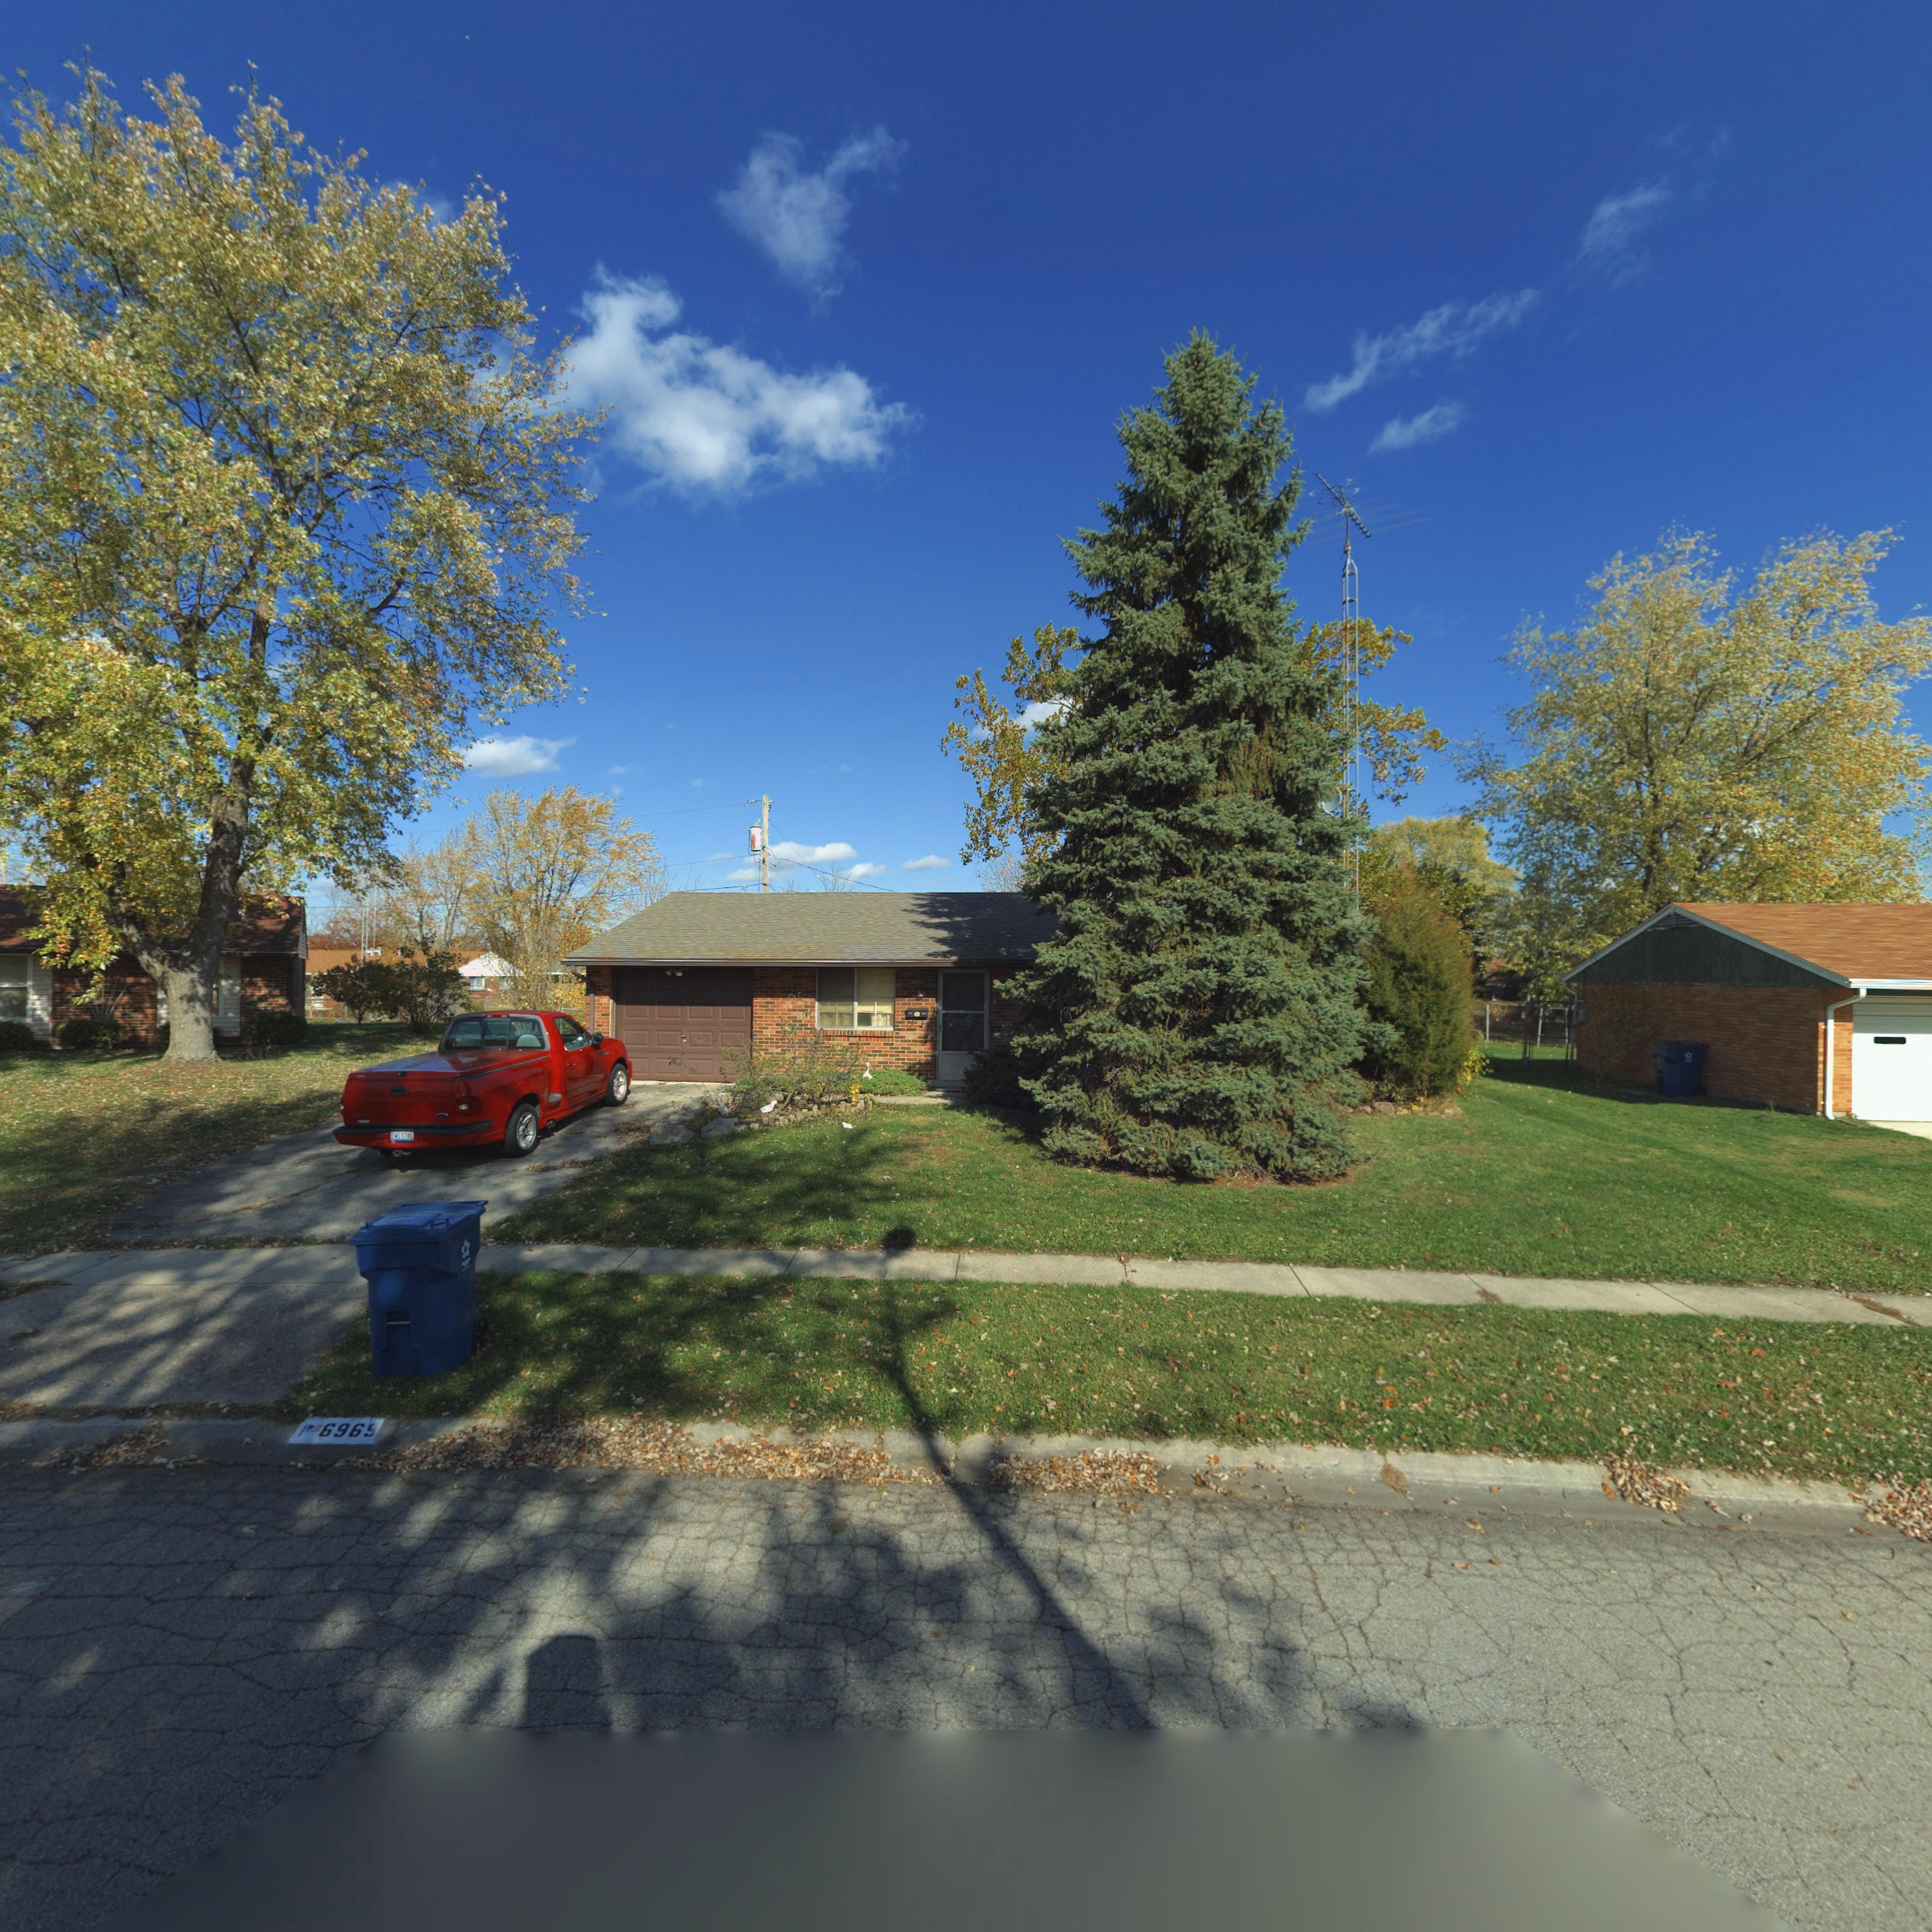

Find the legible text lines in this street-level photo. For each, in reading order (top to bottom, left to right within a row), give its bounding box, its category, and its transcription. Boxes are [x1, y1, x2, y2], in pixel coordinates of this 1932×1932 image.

[317, 1421, 379, 1439] StreetNumber: 696*